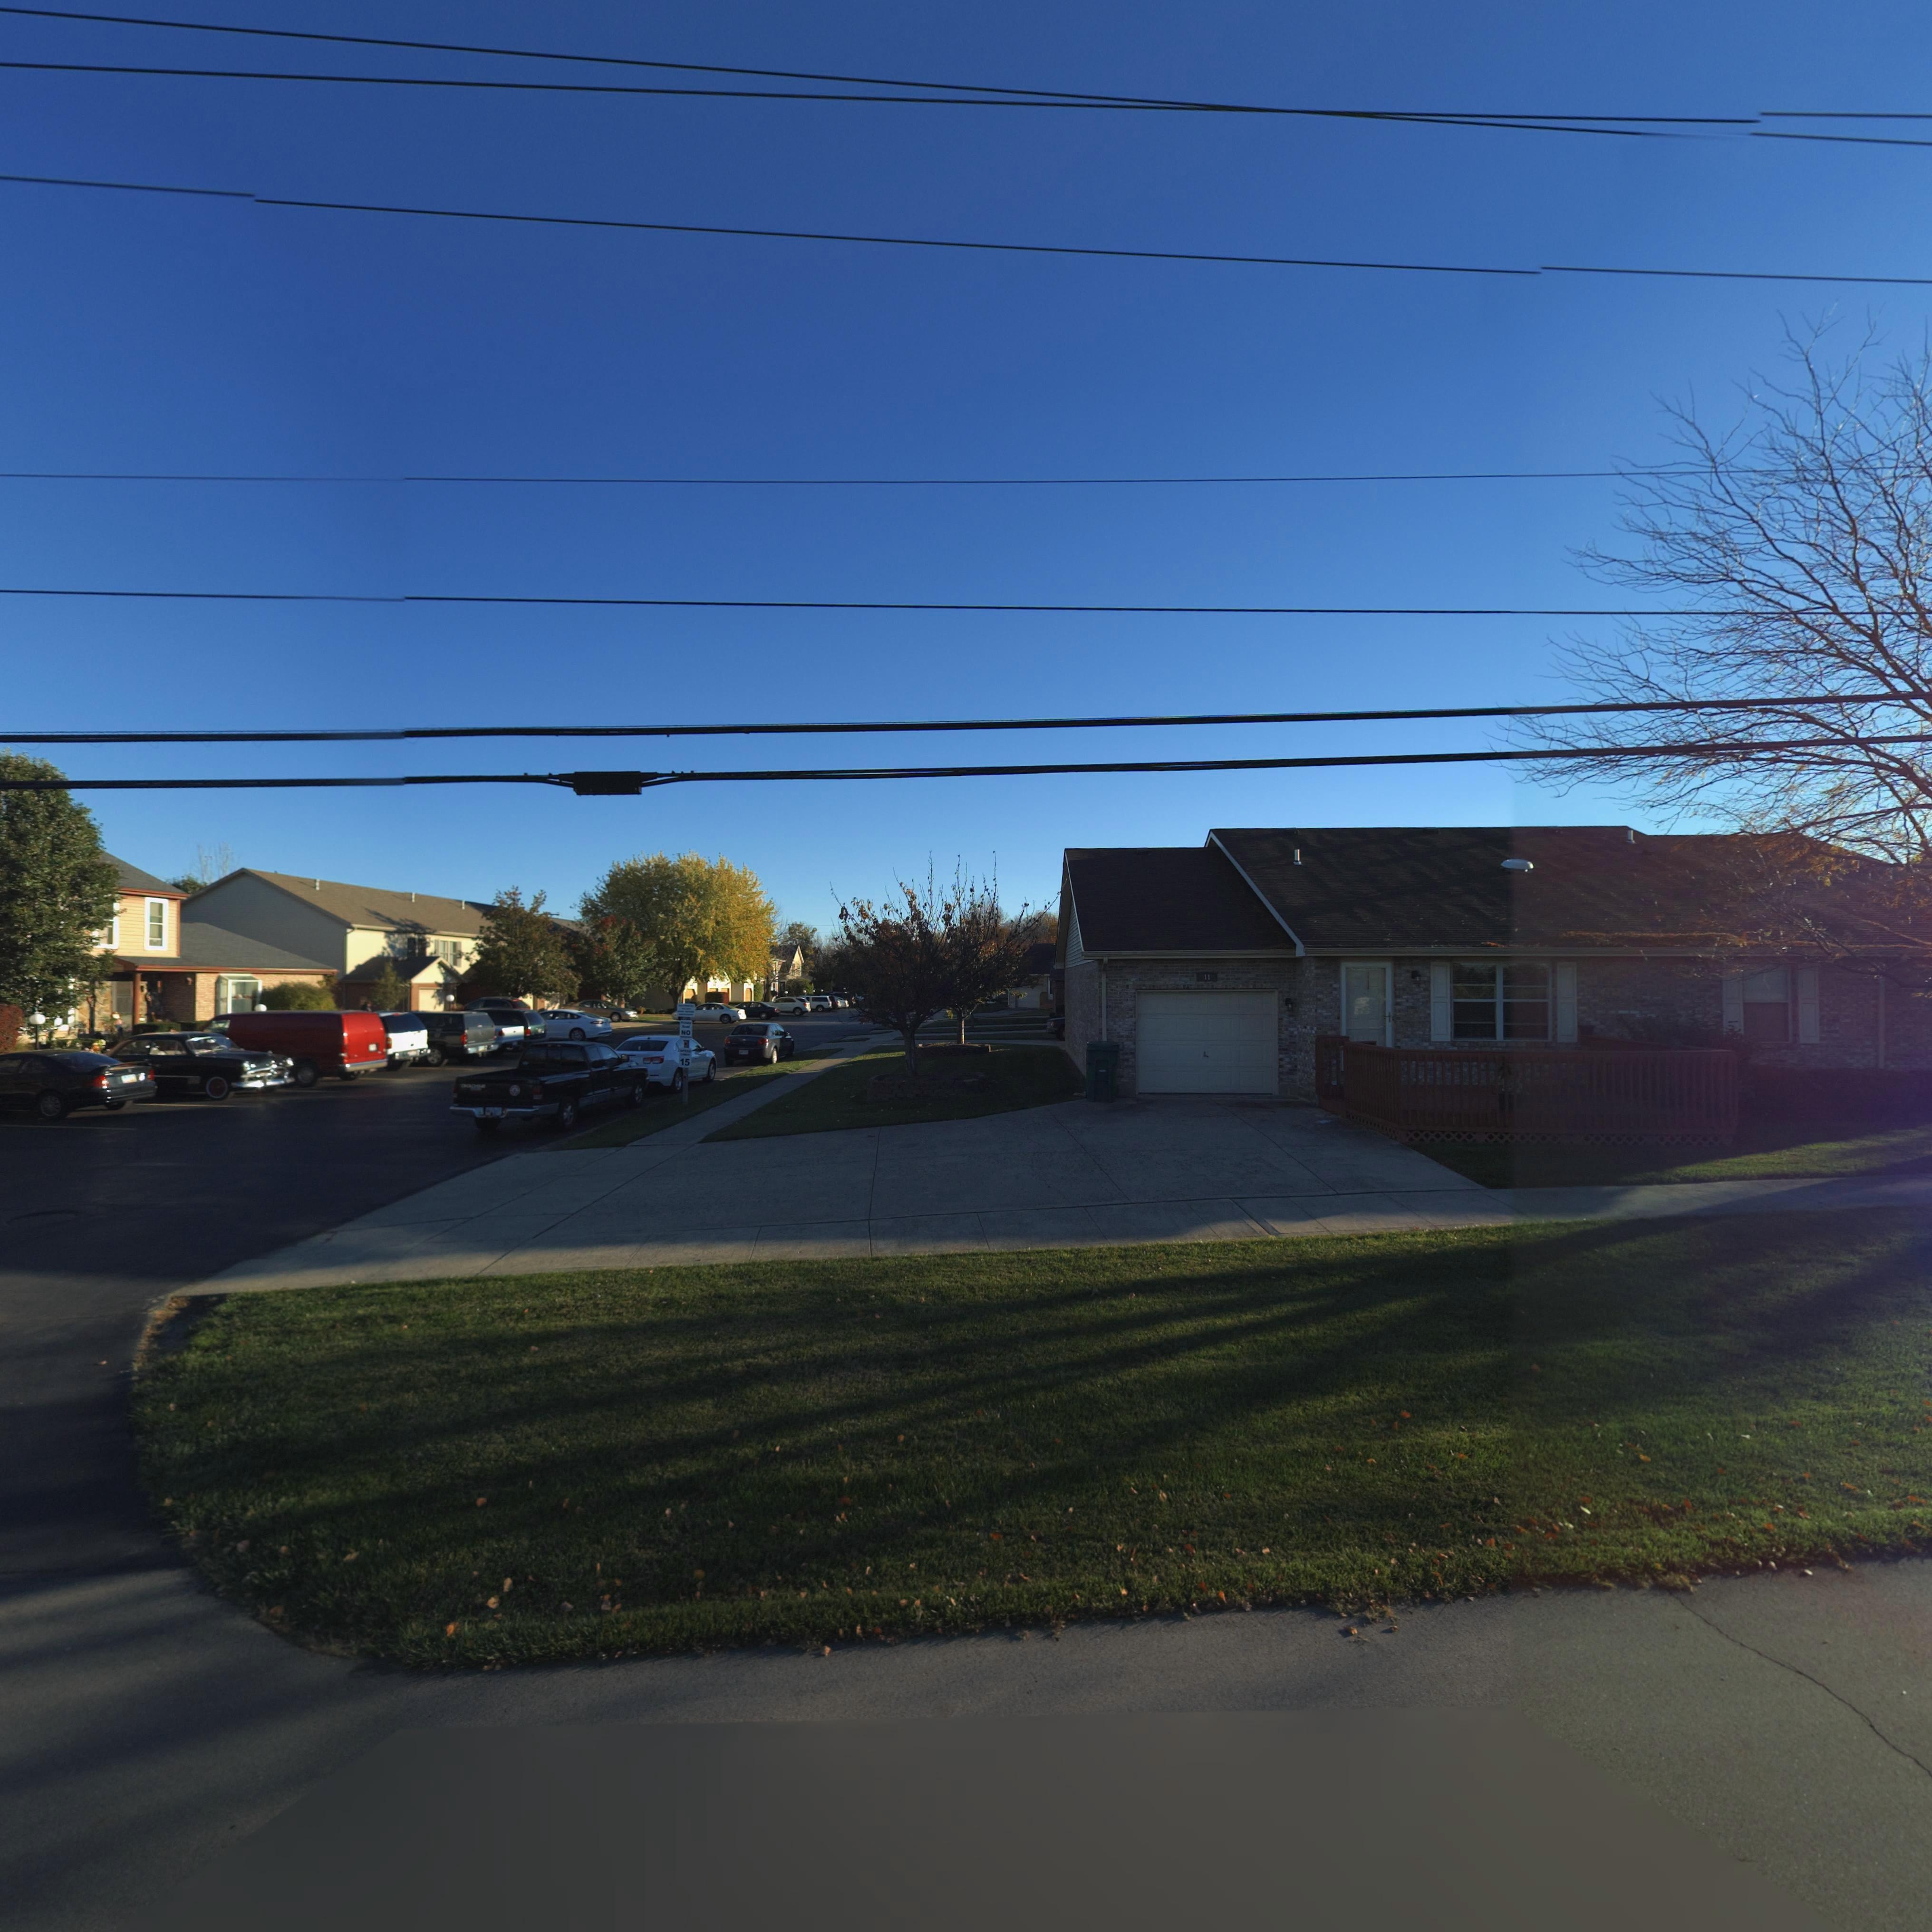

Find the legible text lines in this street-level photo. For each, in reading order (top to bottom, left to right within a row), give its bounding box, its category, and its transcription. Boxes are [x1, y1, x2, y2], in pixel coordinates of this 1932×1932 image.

[1203, 973, 1211, 981] StreetNumber: 11